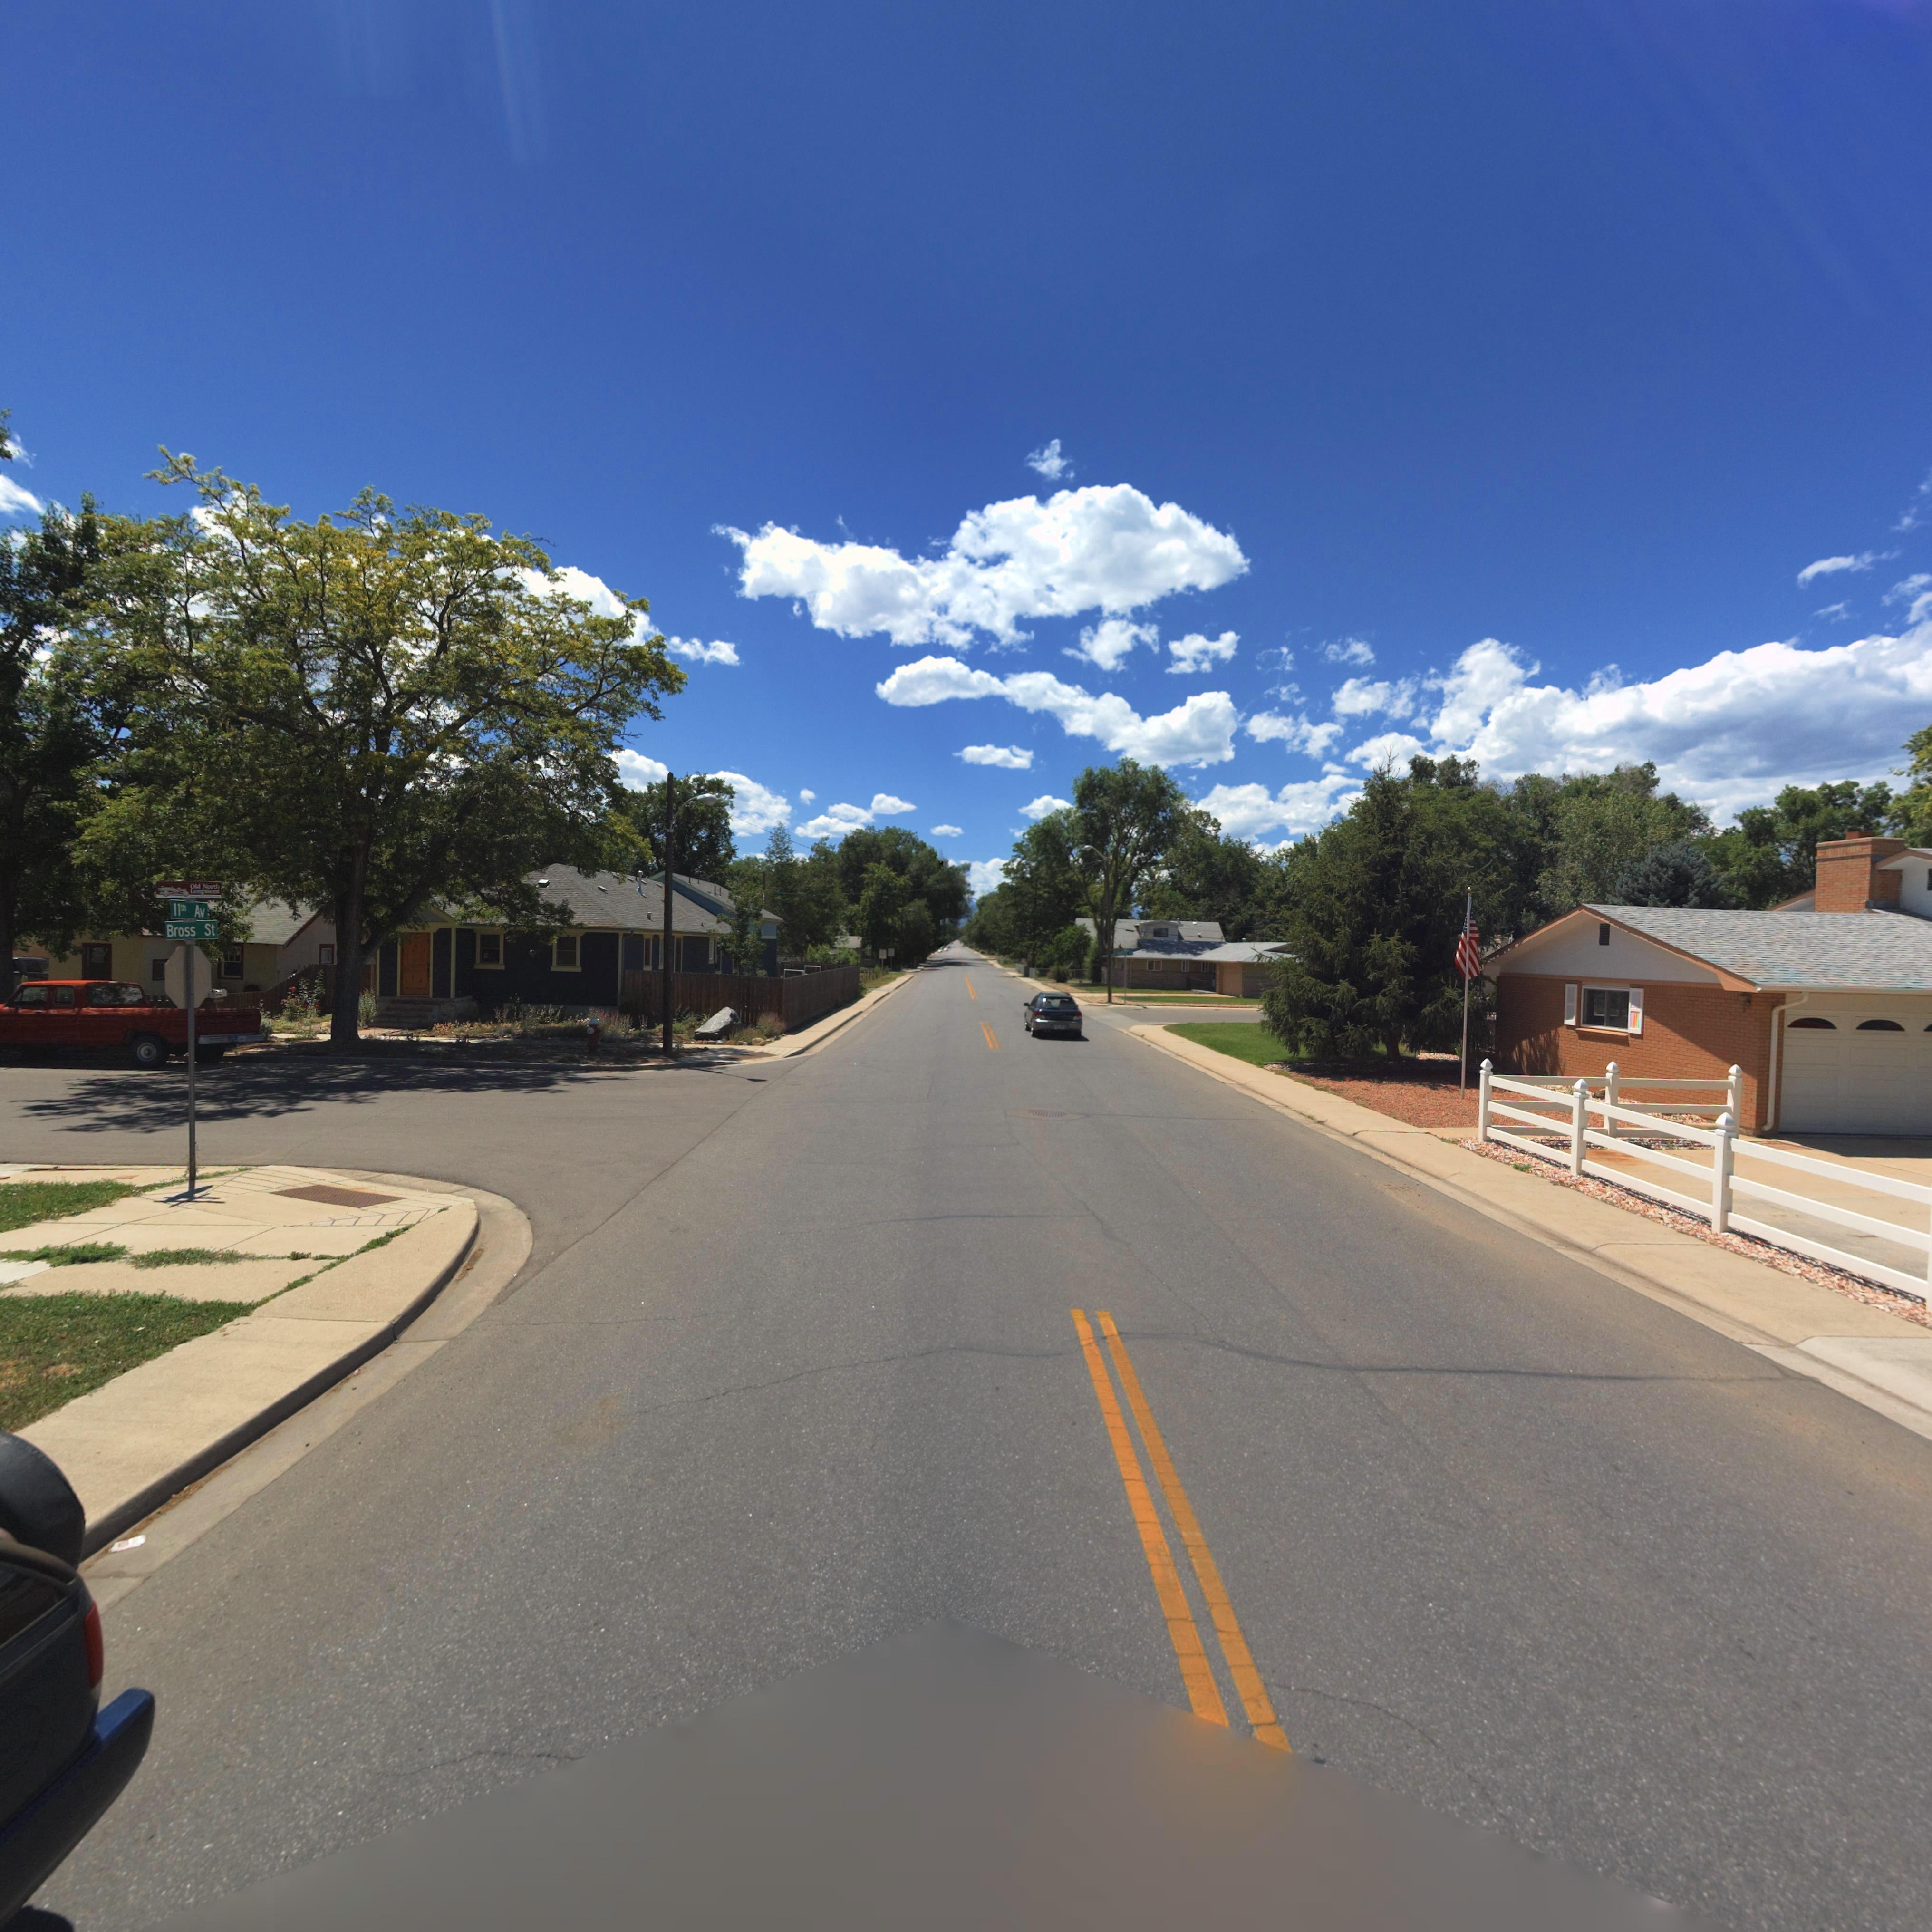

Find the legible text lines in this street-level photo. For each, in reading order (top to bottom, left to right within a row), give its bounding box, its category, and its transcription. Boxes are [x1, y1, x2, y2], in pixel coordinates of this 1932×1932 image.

[173, 902, 205, 918] StreetName: 11th Av
[166, 923, 215, 937] StreetName: Bross St